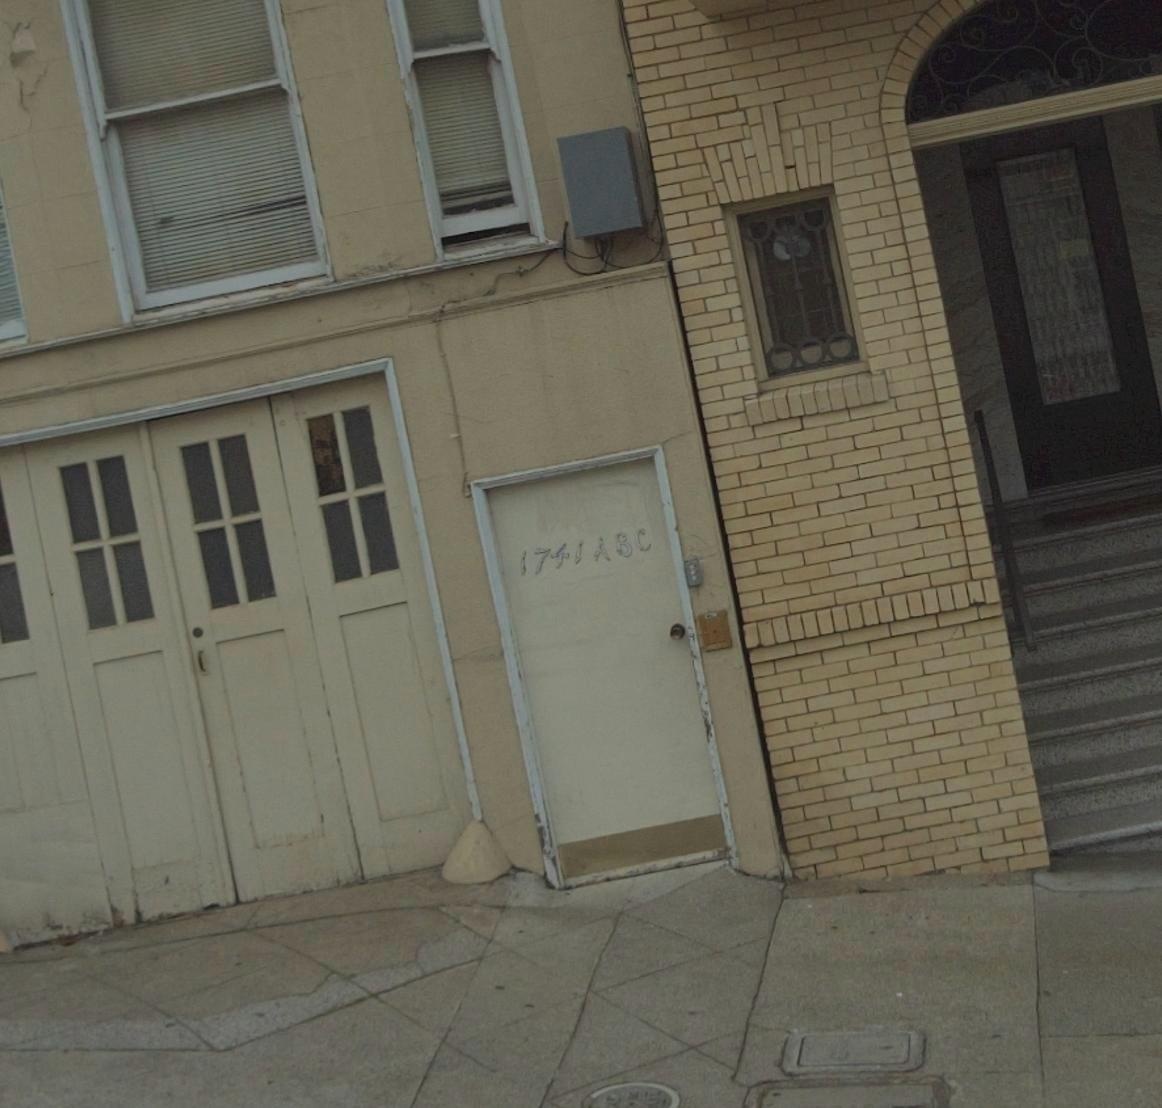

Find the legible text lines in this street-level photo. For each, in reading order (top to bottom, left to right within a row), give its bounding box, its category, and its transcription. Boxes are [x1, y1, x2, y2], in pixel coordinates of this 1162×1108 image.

[515, 522, 656, 583] StreetNumber: 1741ABC